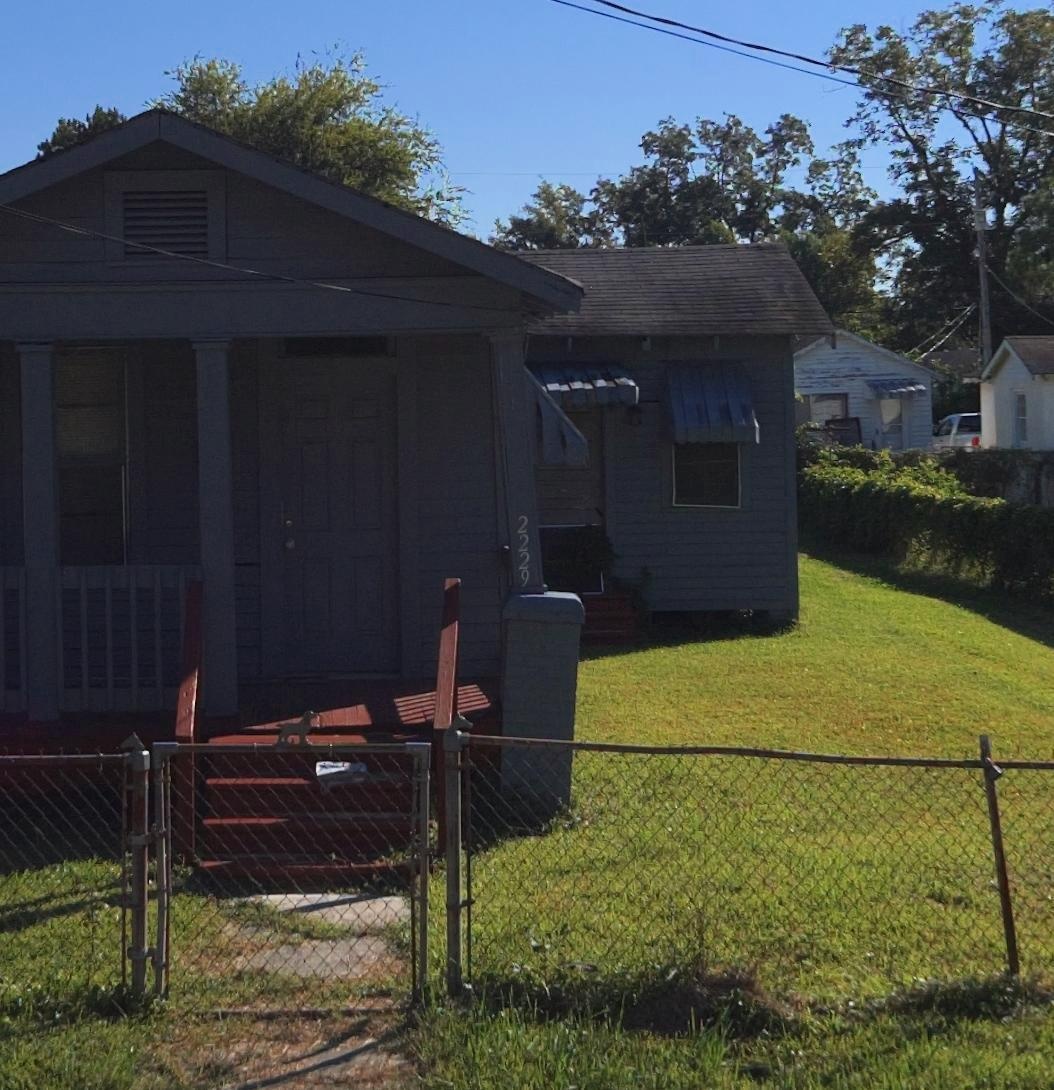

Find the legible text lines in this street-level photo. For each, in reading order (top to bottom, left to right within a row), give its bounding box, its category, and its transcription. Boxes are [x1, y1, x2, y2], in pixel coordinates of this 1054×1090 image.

[515, 513, 534, 594] StreetNumber: 2229